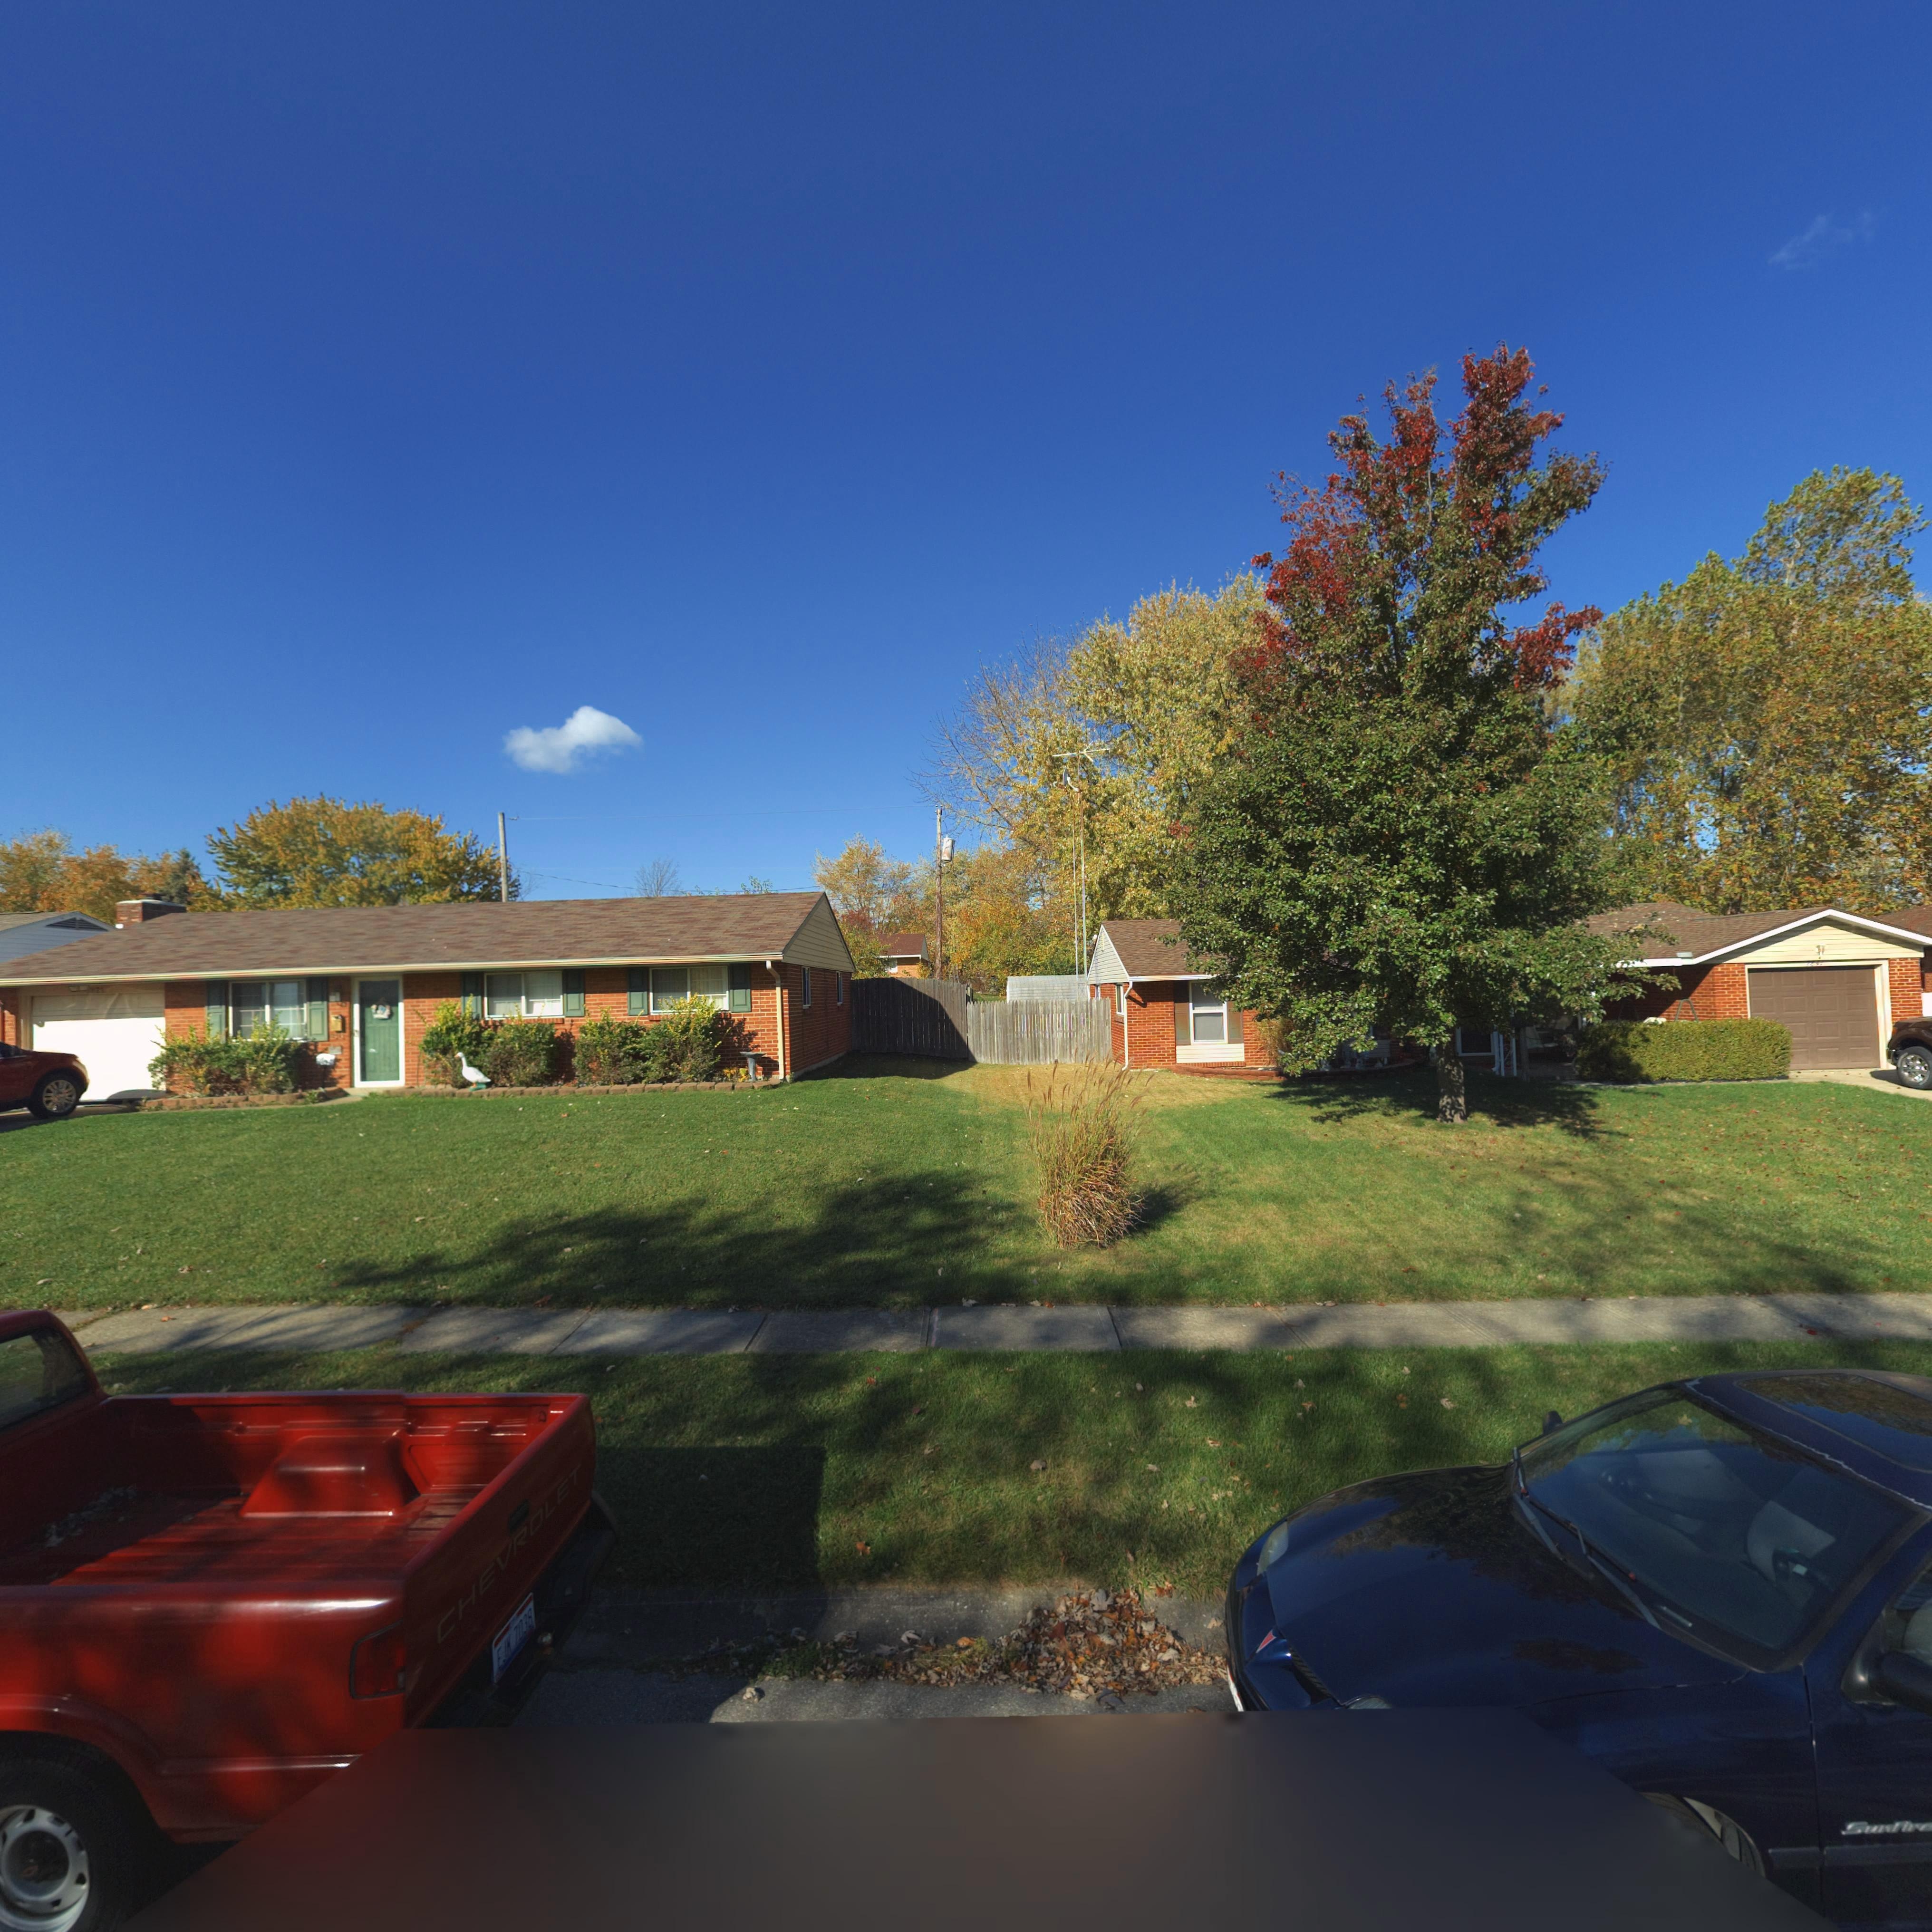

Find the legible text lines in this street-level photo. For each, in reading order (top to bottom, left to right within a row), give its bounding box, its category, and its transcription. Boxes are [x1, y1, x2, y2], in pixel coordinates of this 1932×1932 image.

[89, 985, 105, 994] StreetNumber: *2*